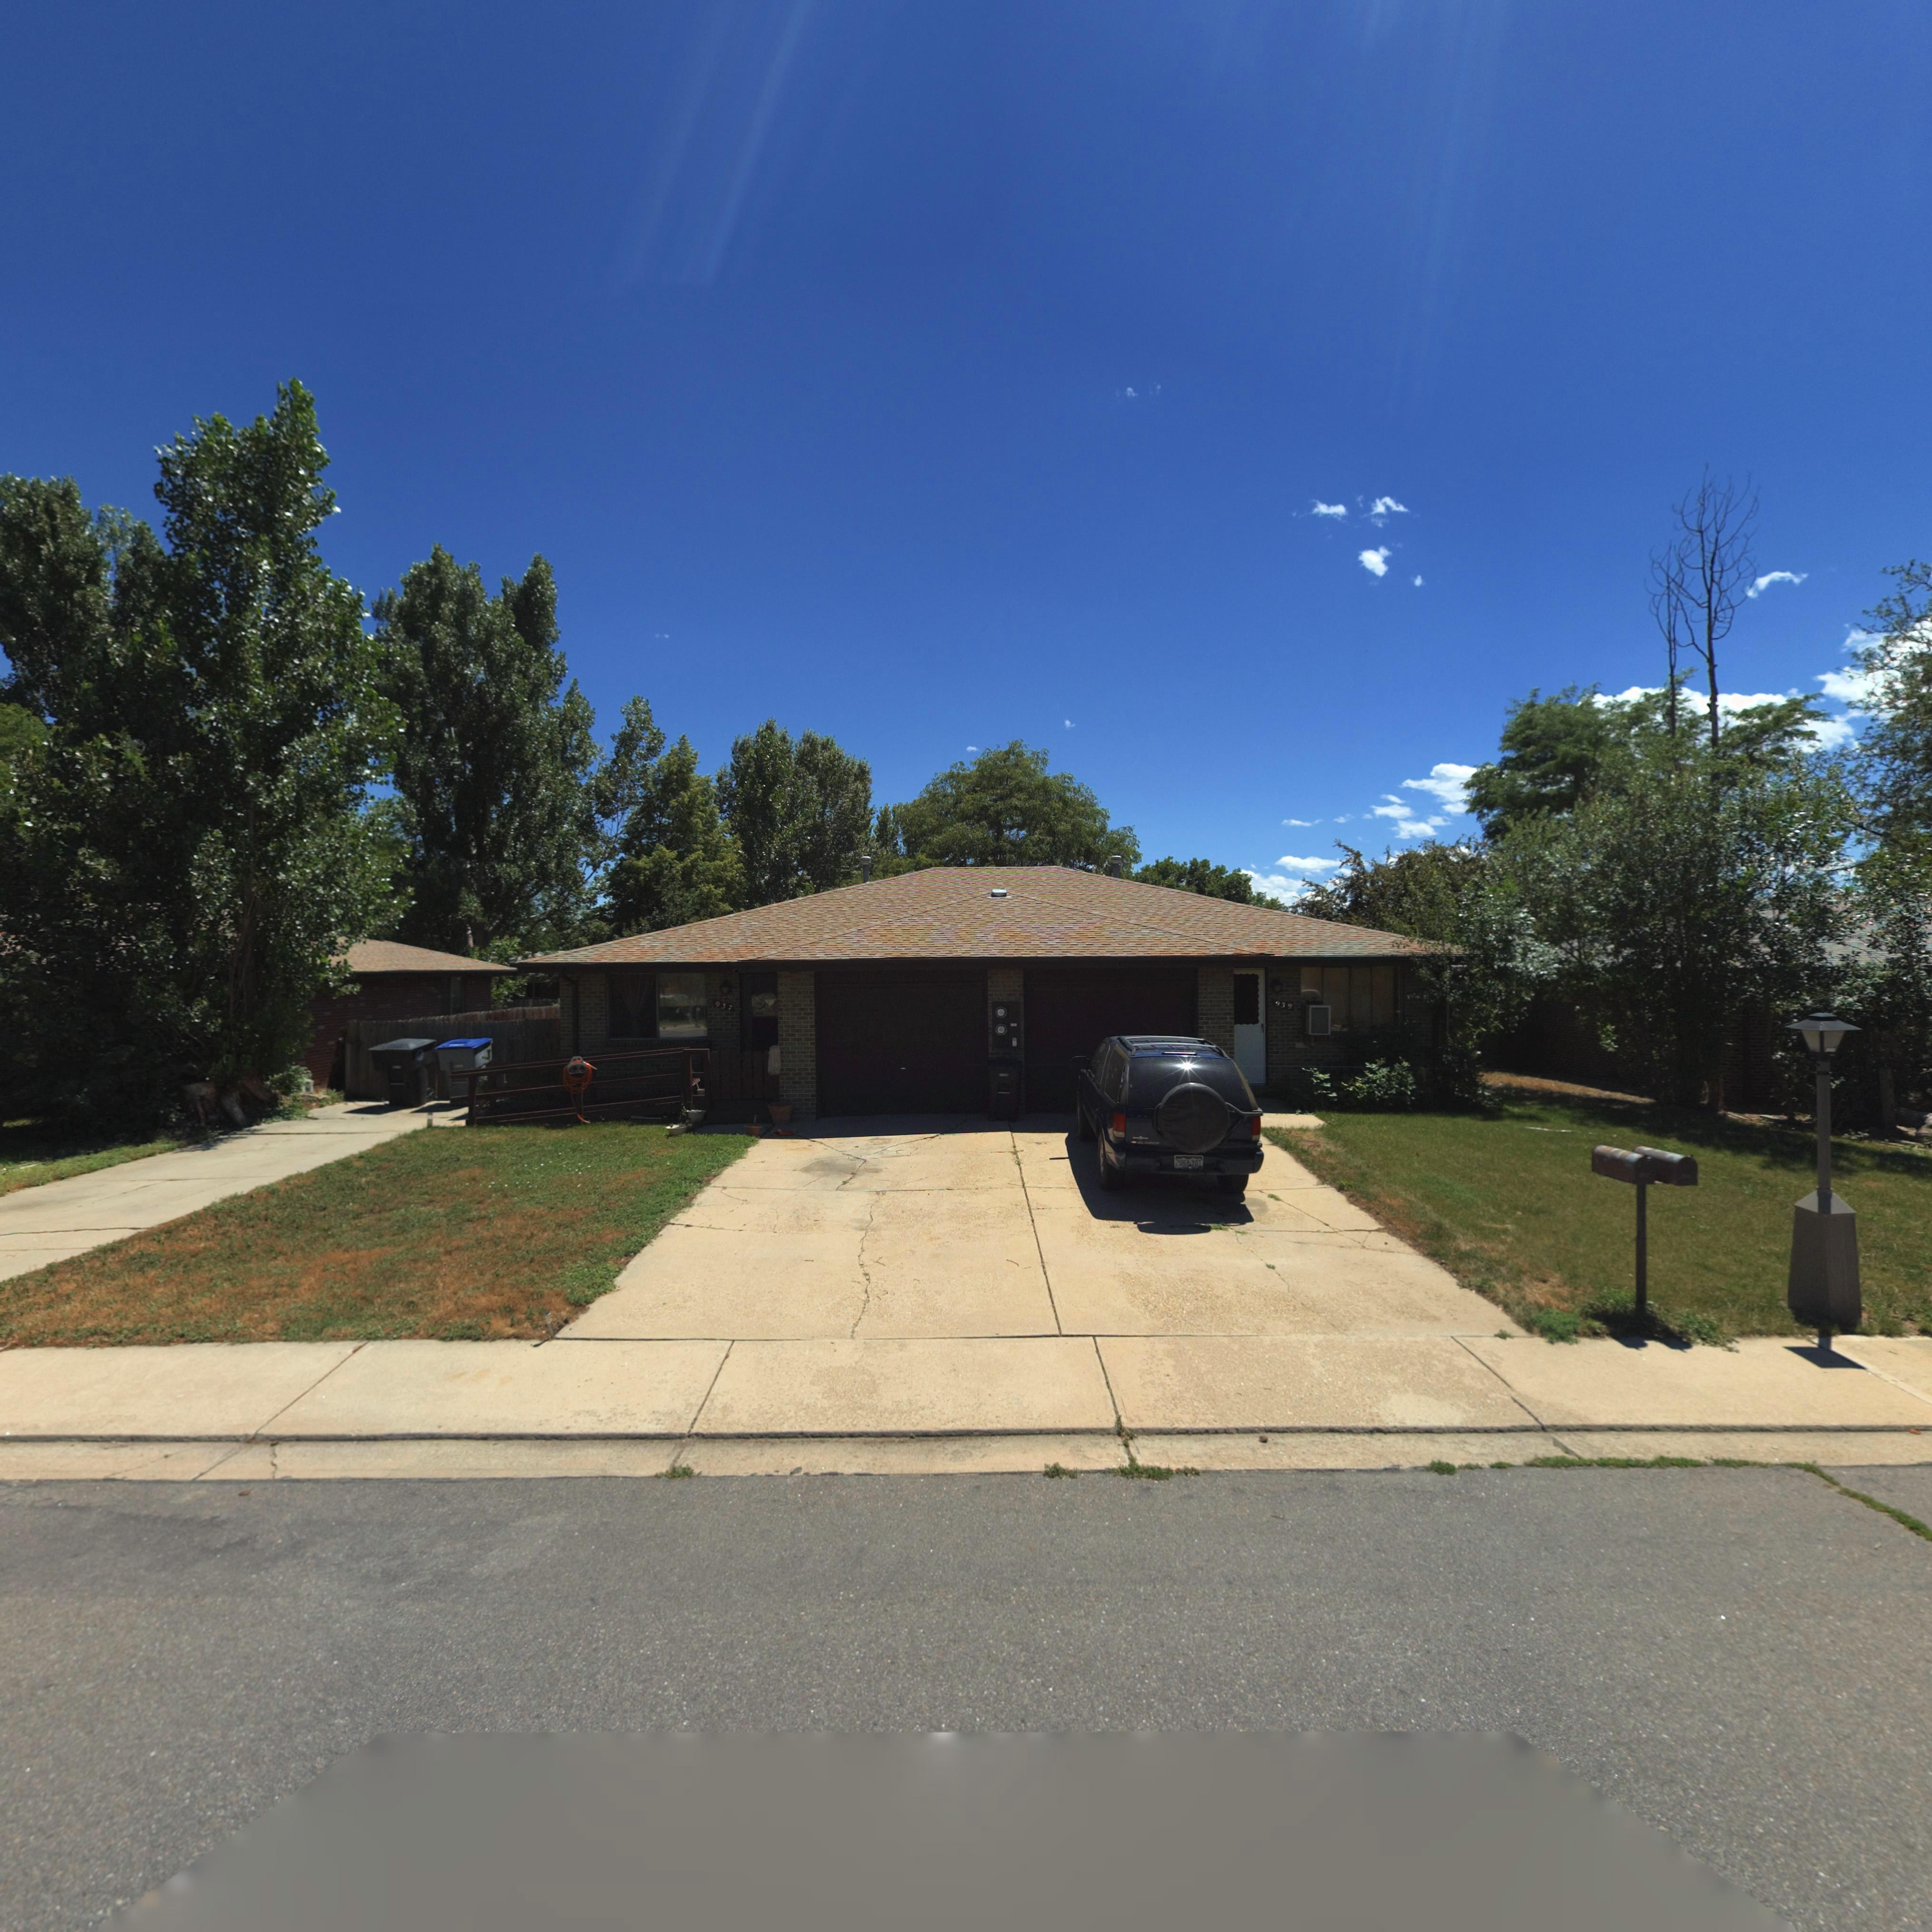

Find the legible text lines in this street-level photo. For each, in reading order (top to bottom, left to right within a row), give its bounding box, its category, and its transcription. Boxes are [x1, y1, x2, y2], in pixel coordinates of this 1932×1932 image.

[715, 1001, 733, 1011] StreetNumber: 937
[1275, 1000, 1292, 1009] StreetNumber: 939